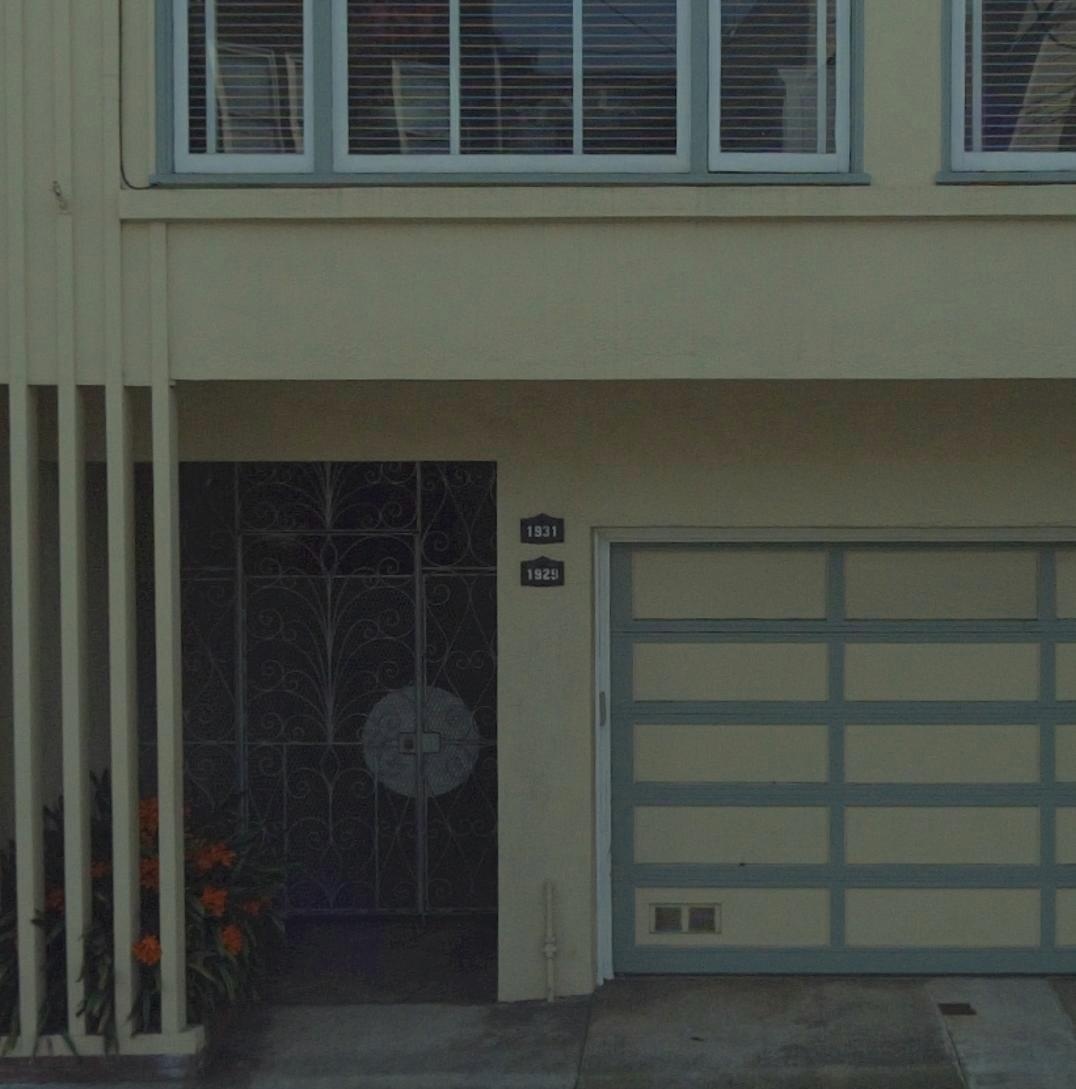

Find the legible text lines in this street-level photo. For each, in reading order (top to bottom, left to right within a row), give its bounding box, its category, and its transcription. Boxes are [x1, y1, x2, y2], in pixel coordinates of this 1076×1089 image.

[525, 523, 559, 540] StreetNumber: 1931
[525, 566, 562, 583] StreetNumber: 1929